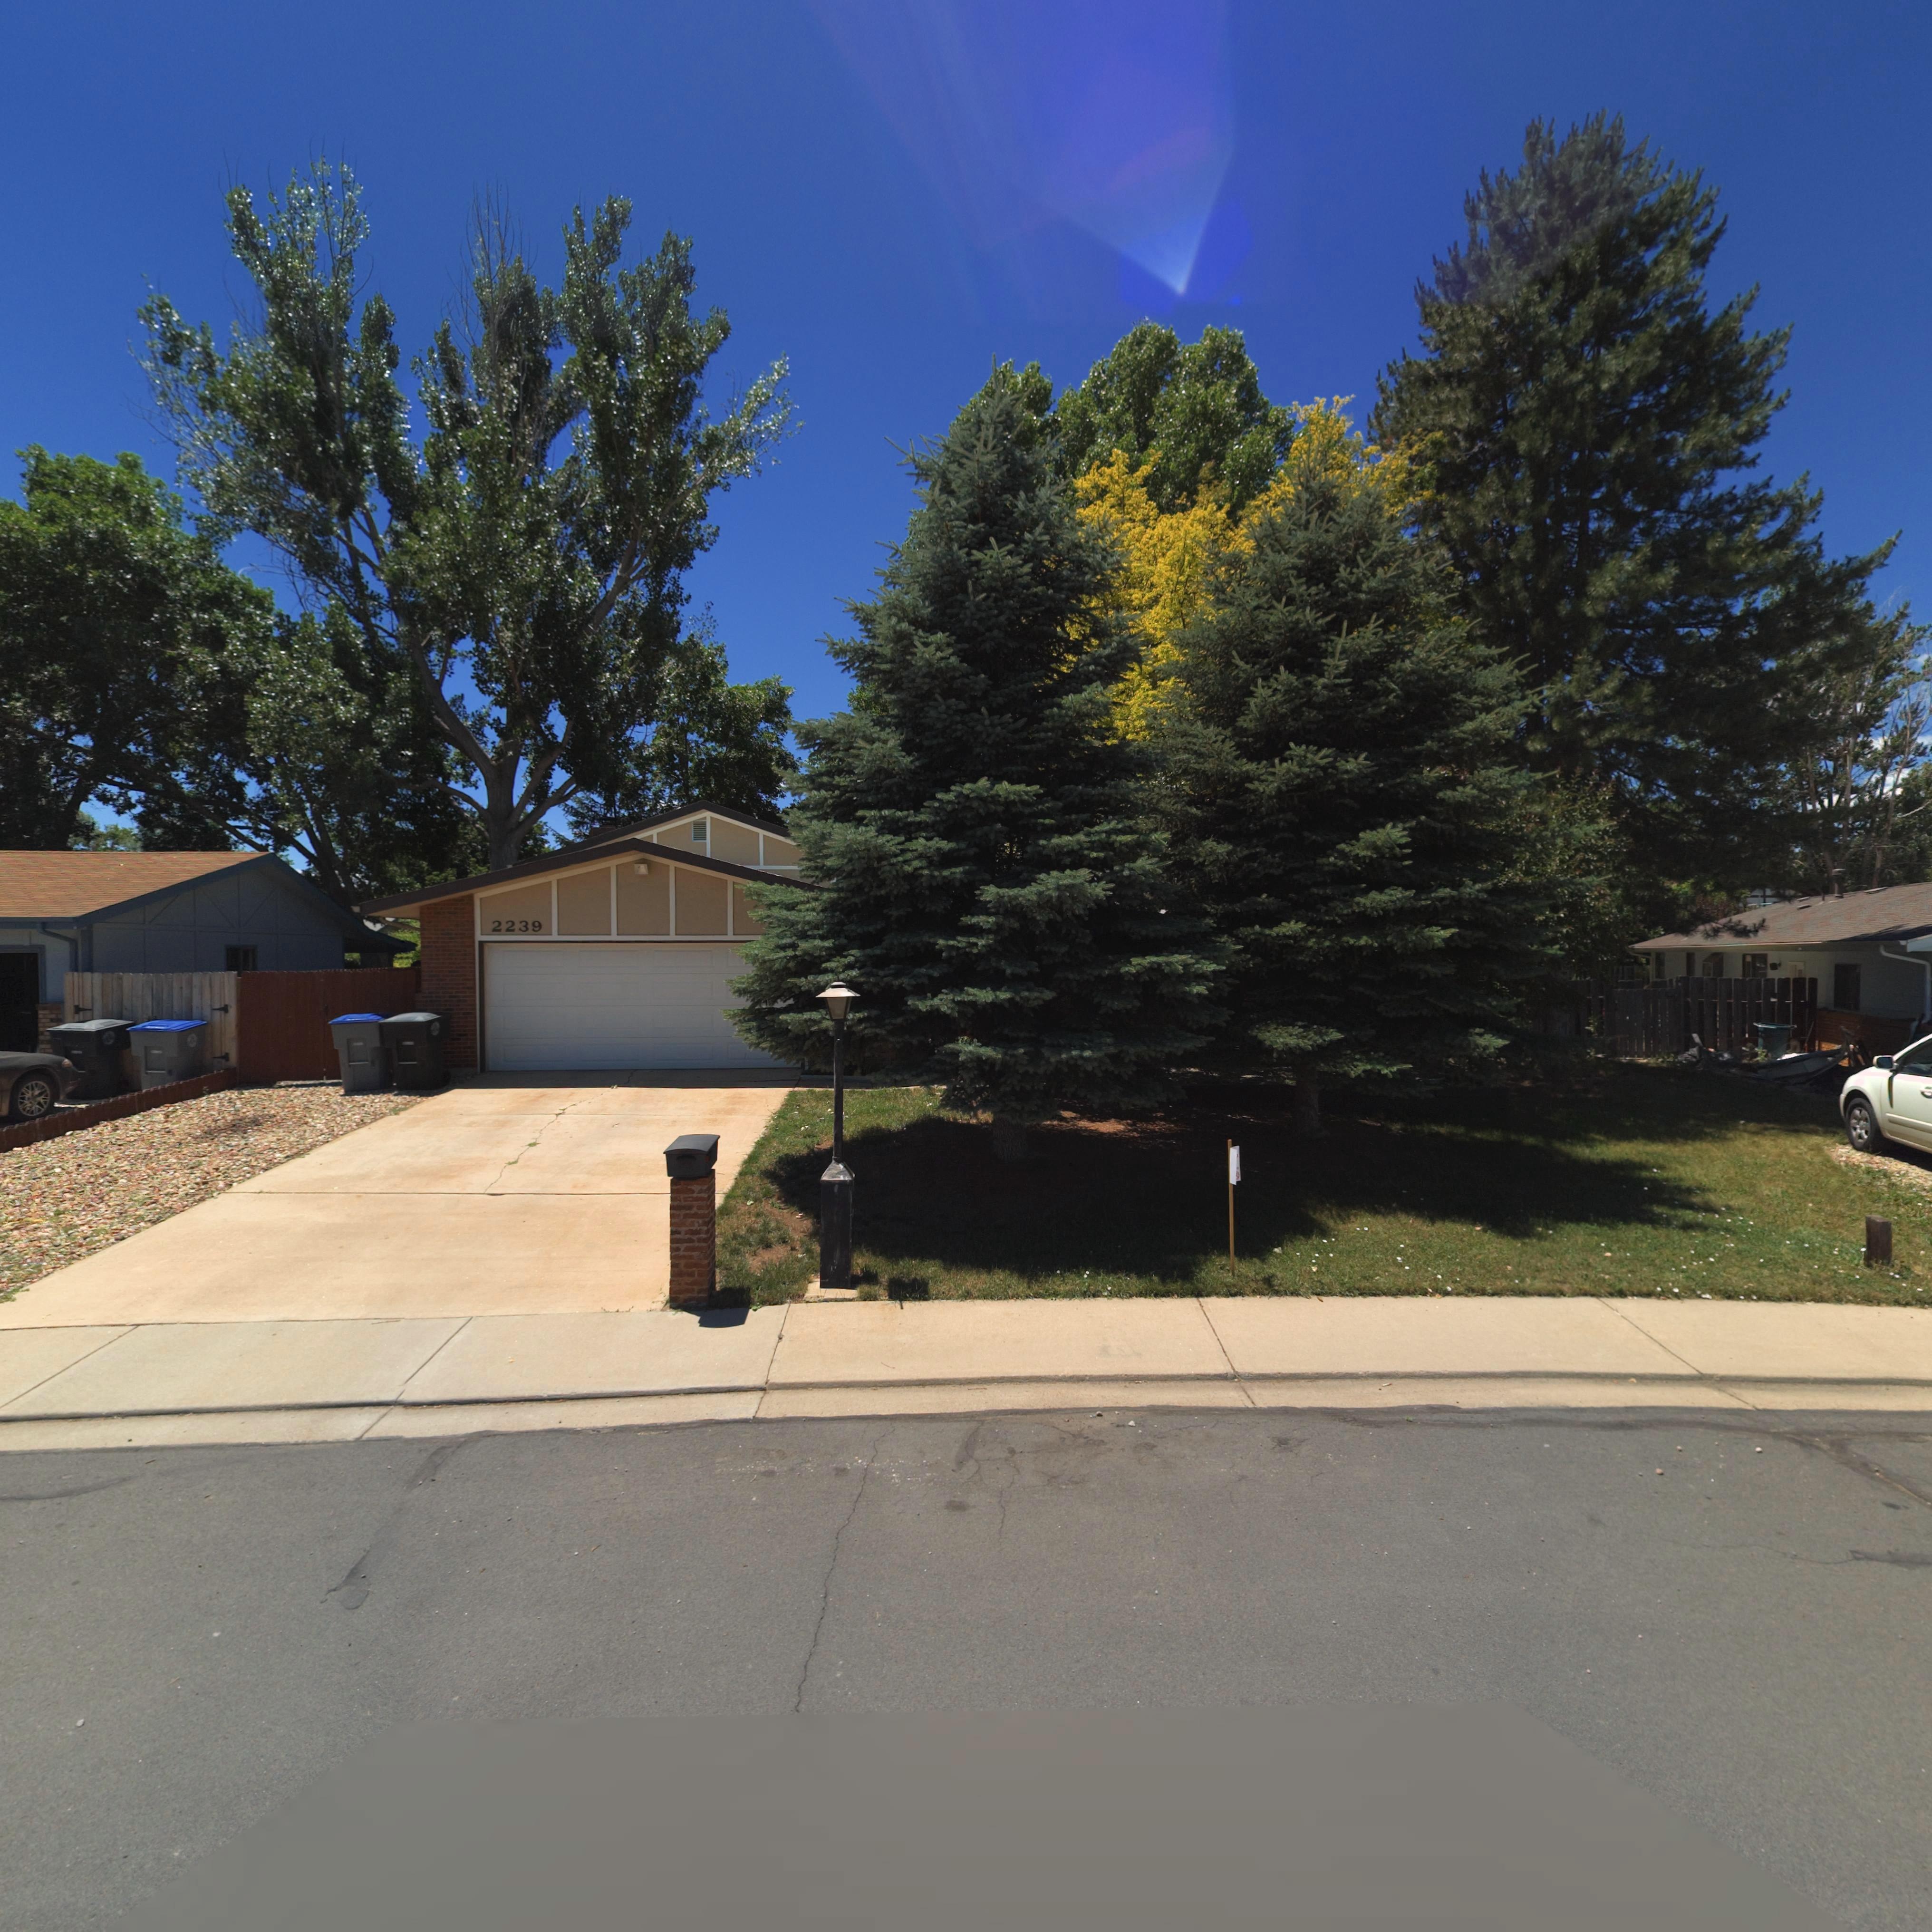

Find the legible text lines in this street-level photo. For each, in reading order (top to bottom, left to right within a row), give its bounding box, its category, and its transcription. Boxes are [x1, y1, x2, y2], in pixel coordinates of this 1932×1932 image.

[491, 919, 542, 933] StreetNumber: 2239